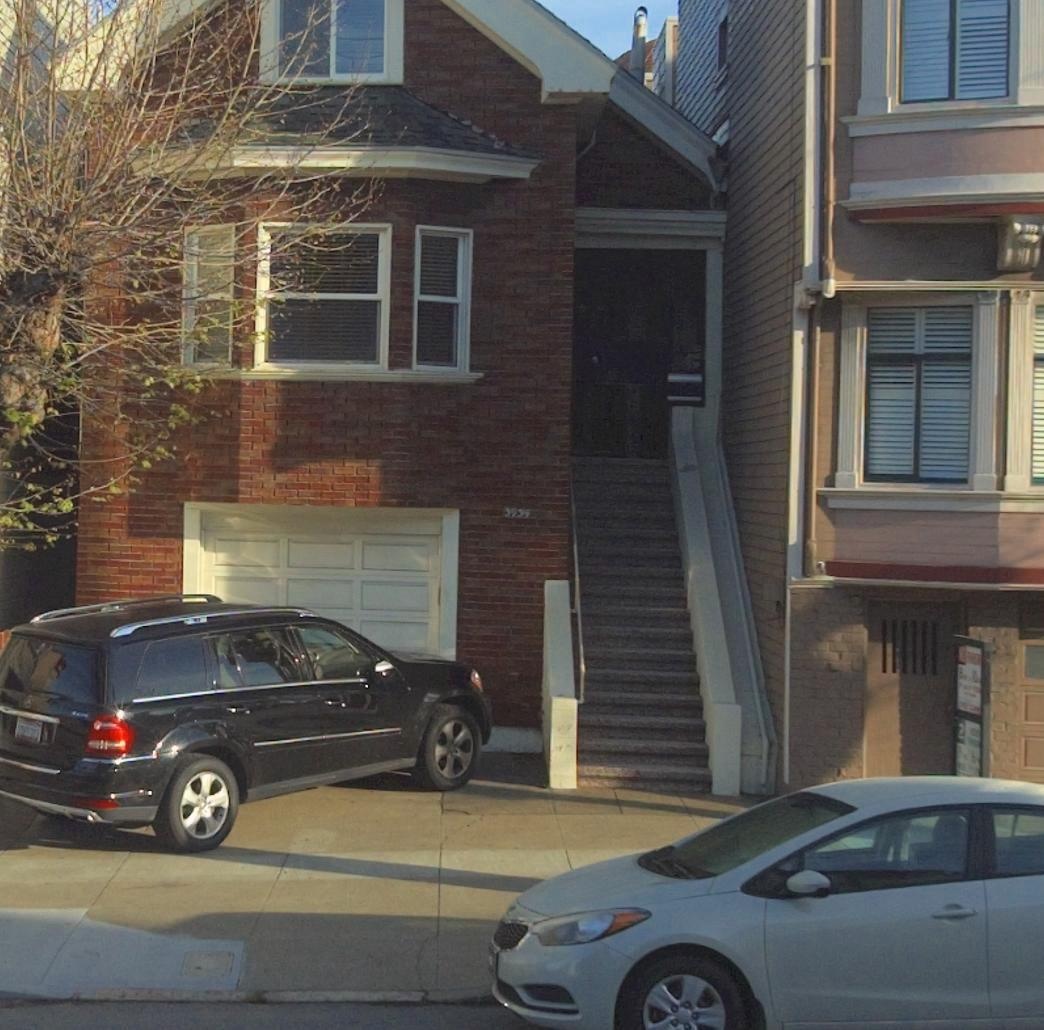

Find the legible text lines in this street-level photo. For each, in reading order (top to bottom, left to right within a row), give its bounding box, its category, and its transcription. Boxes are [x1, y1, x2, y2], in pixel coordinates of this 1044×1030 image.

[501, 506, 533, 520] StreetNumber: *9**